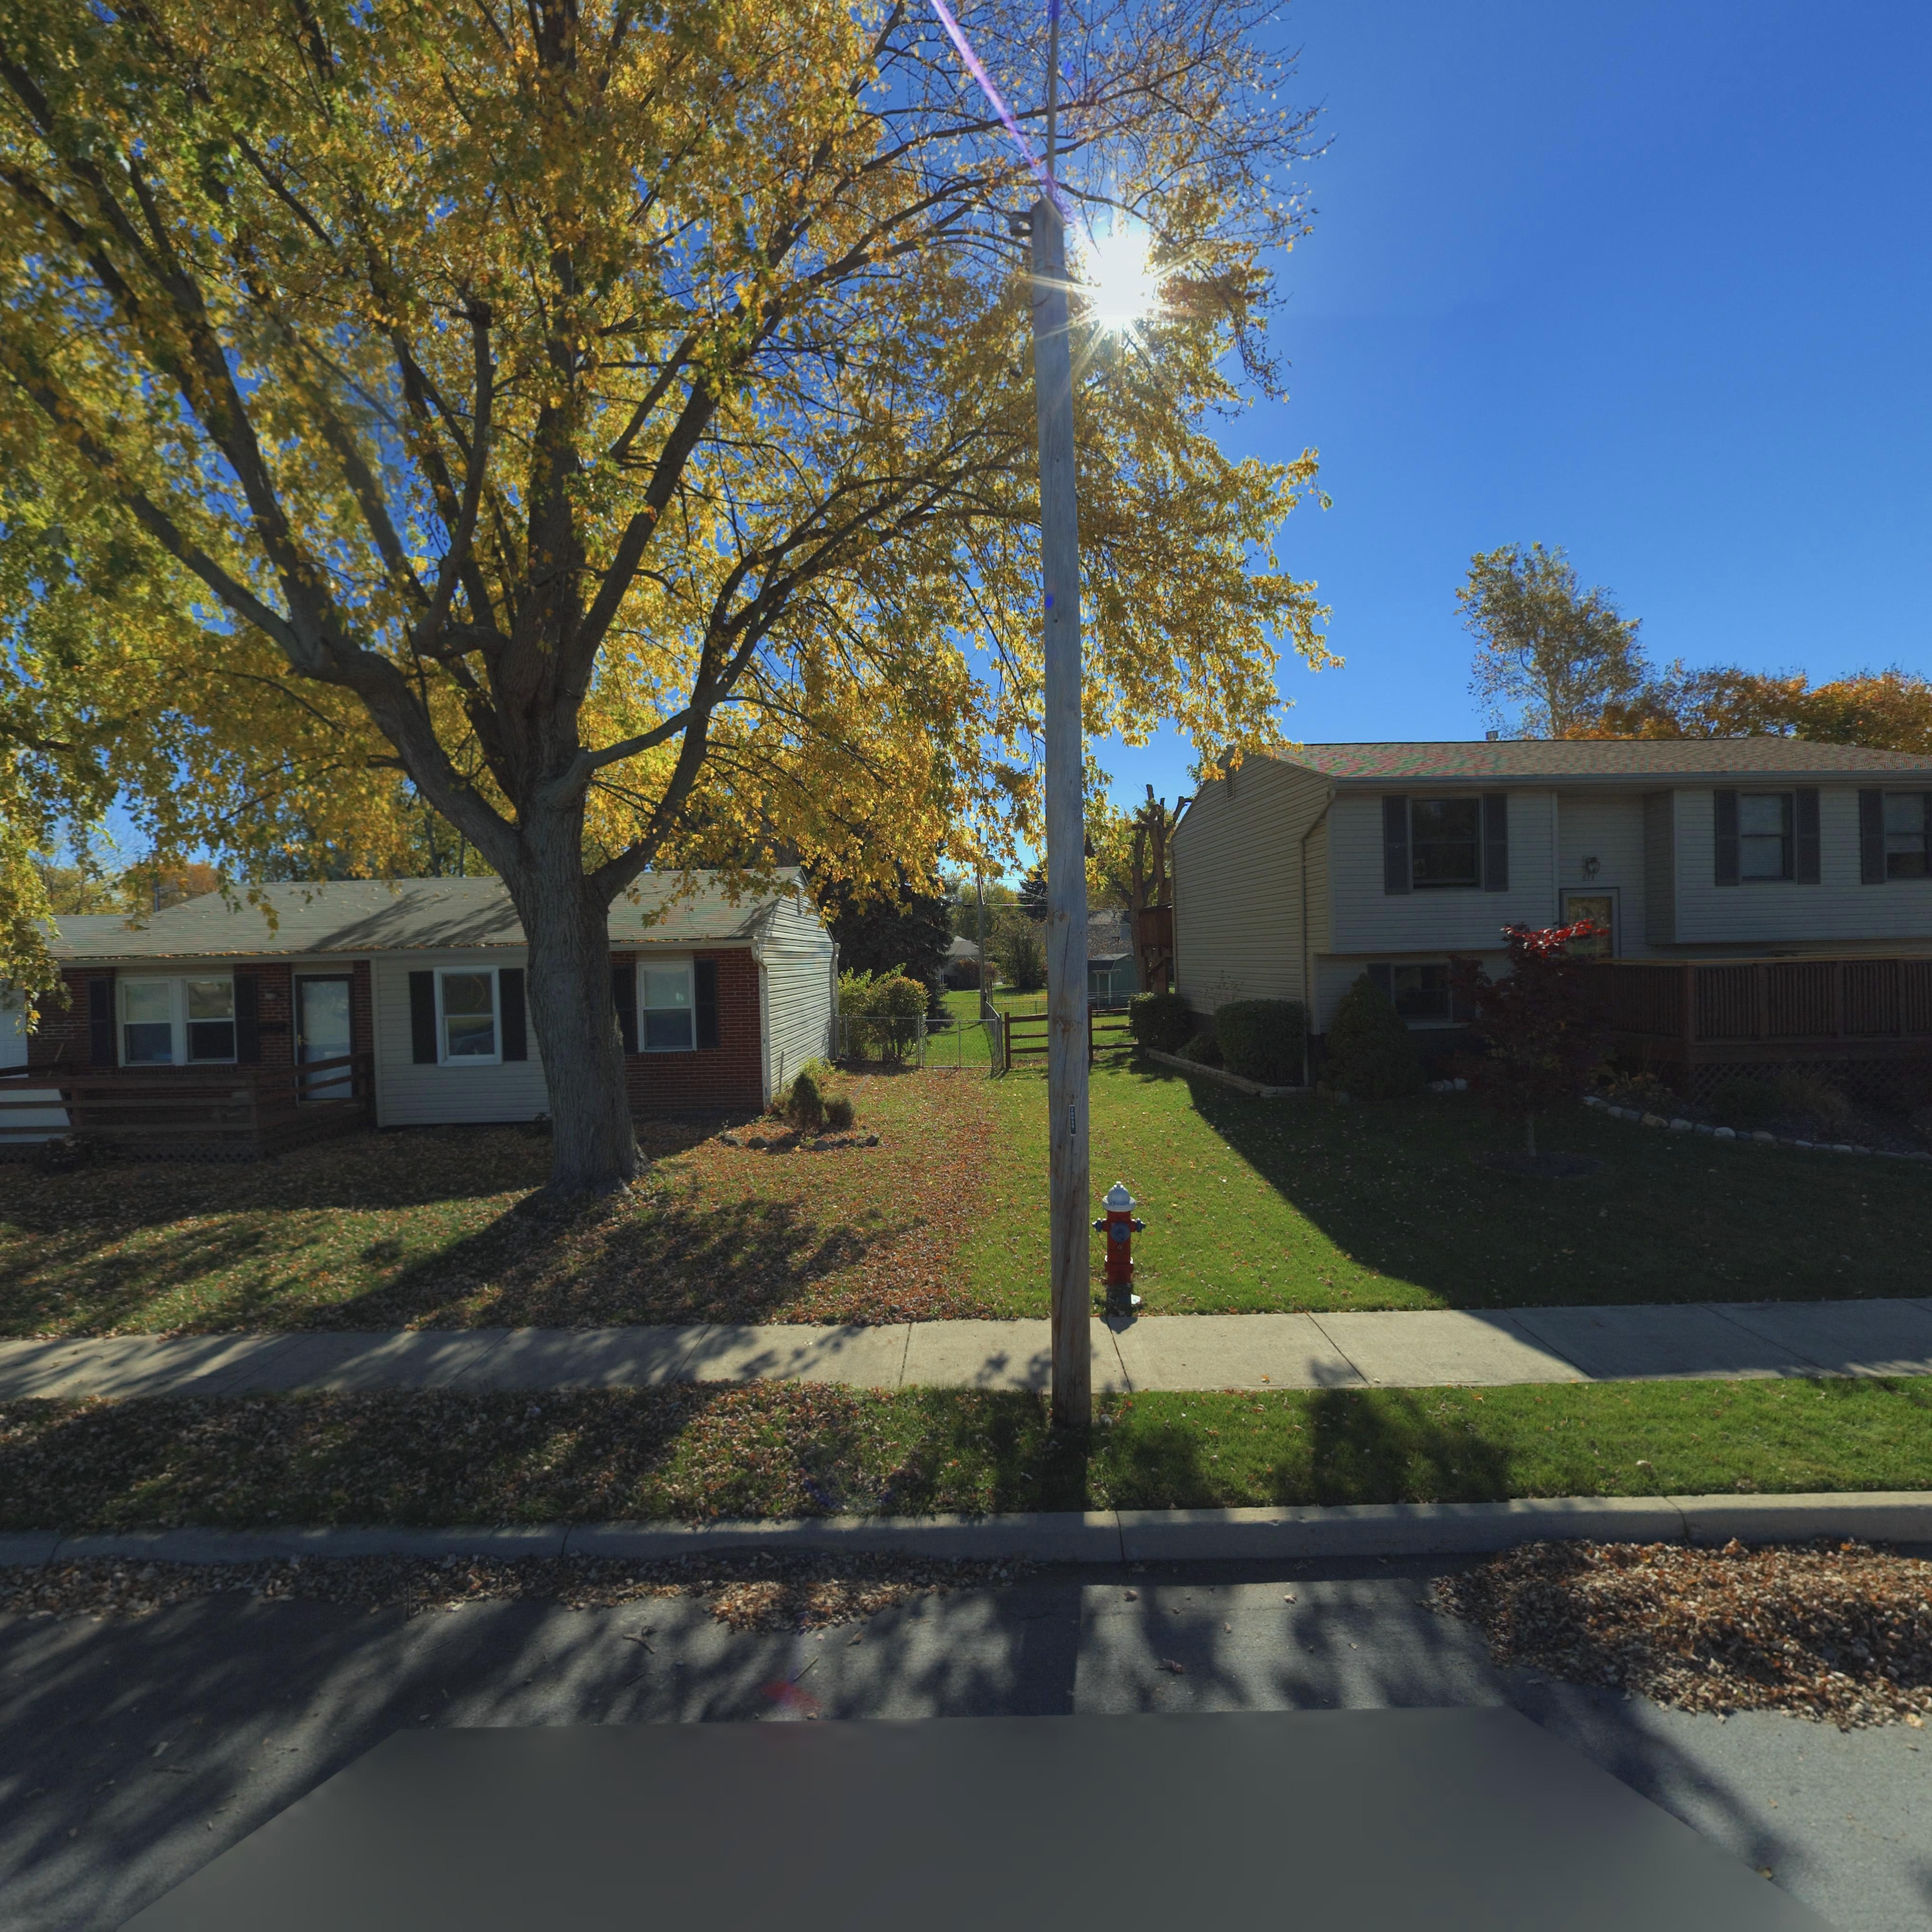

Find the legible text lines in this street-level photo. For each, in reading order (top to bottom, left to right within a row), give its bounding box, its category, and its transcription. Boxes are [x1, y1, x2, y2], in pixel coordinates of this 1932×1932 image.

[1581, 873, 1595, 882] StreetNumber: 673